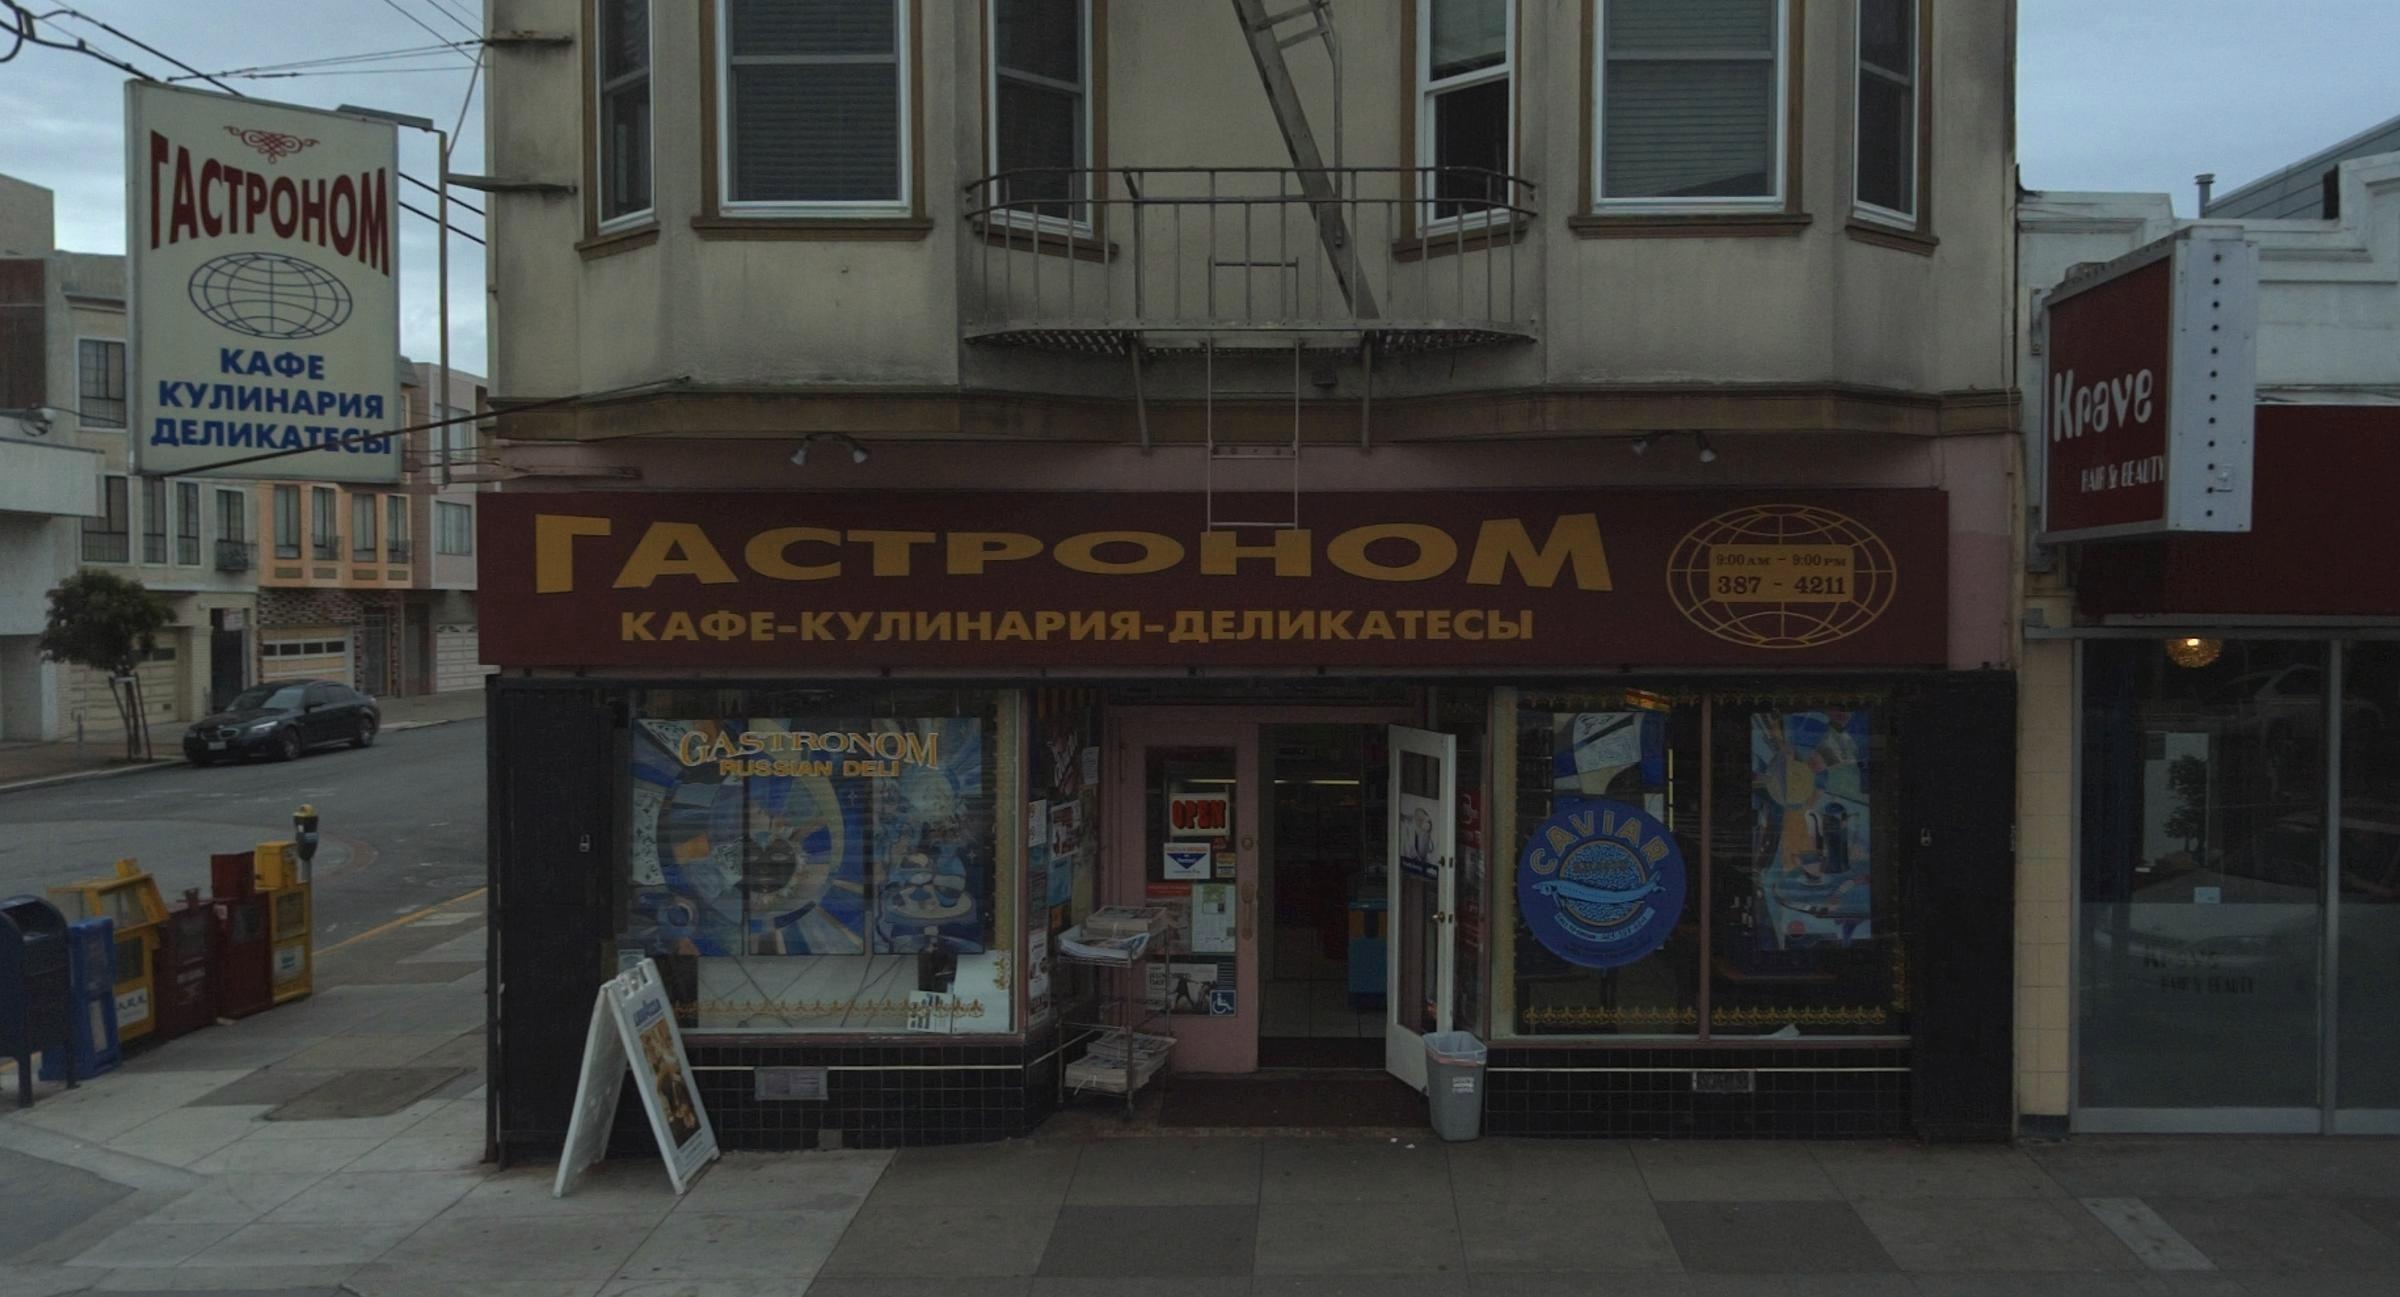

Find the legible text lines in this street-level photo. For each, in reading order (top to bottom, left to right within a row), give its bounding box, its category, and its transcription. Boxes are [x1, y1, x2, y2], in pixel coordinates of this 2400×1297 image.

[148, 122, 394, 282] BusinessName: *ACTPOHOM
[217, 344, 328, 384] None: KA*E
[155, 377, 387, 422] None: KY**HAP**
[2050, 365, 2159, 447] BusinessName: Krave
[147, 414, 394, 457] None: *E*KAT****
[2124, 452, 2162, 489] None: EA*T
[529, 508, 1621, 600] BusinessName: *ACTPOHOM
[1713, 551, 1849, 570] None: 9:00 AM - 9:00 PM
[1714, 573, 1848, 598] None: 387 - 4211
[618, 604, 1538, 646] None: KA*E-KY**HAP** *E**KATECbI
[675, 725, 943, 773] None: GASTRONOM
[717, 755, 903, 780] None: RUSSIAN DELI
[1170, 797, 1229, 831] None: OPEN
[1525, 805, 1674, 879] None: CAVIAR